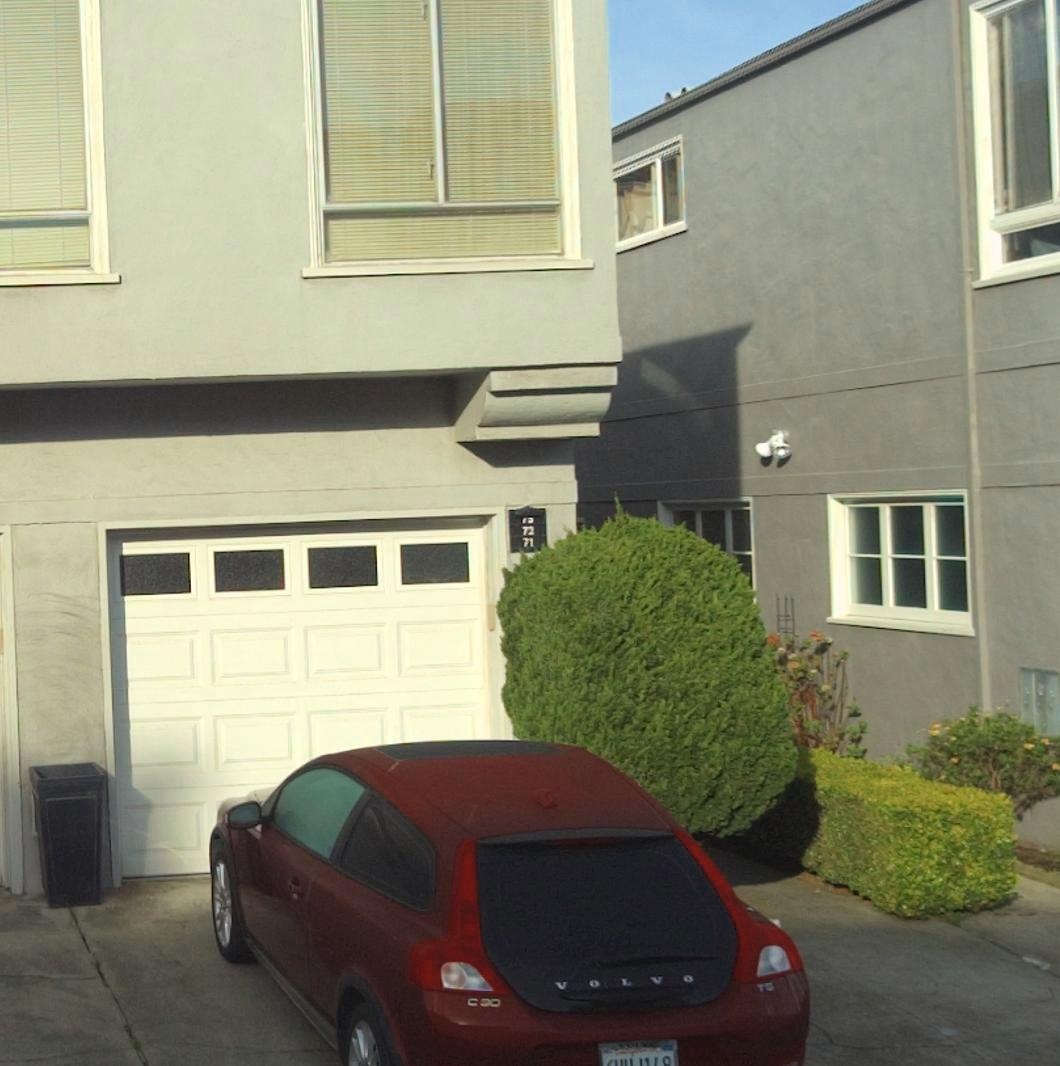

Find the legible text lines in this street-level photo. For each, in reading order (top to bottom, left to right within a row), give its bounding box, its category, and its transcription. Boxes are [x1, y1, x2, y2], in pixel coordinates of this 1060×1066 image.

[519, 524, 537, 537] StreetNumber: 73
[520, 536, 536, 550] StreetNumber: 71
[546, 972, 698, 993] None: VOLVO
[464, 995, 503, 1010] None: C *0